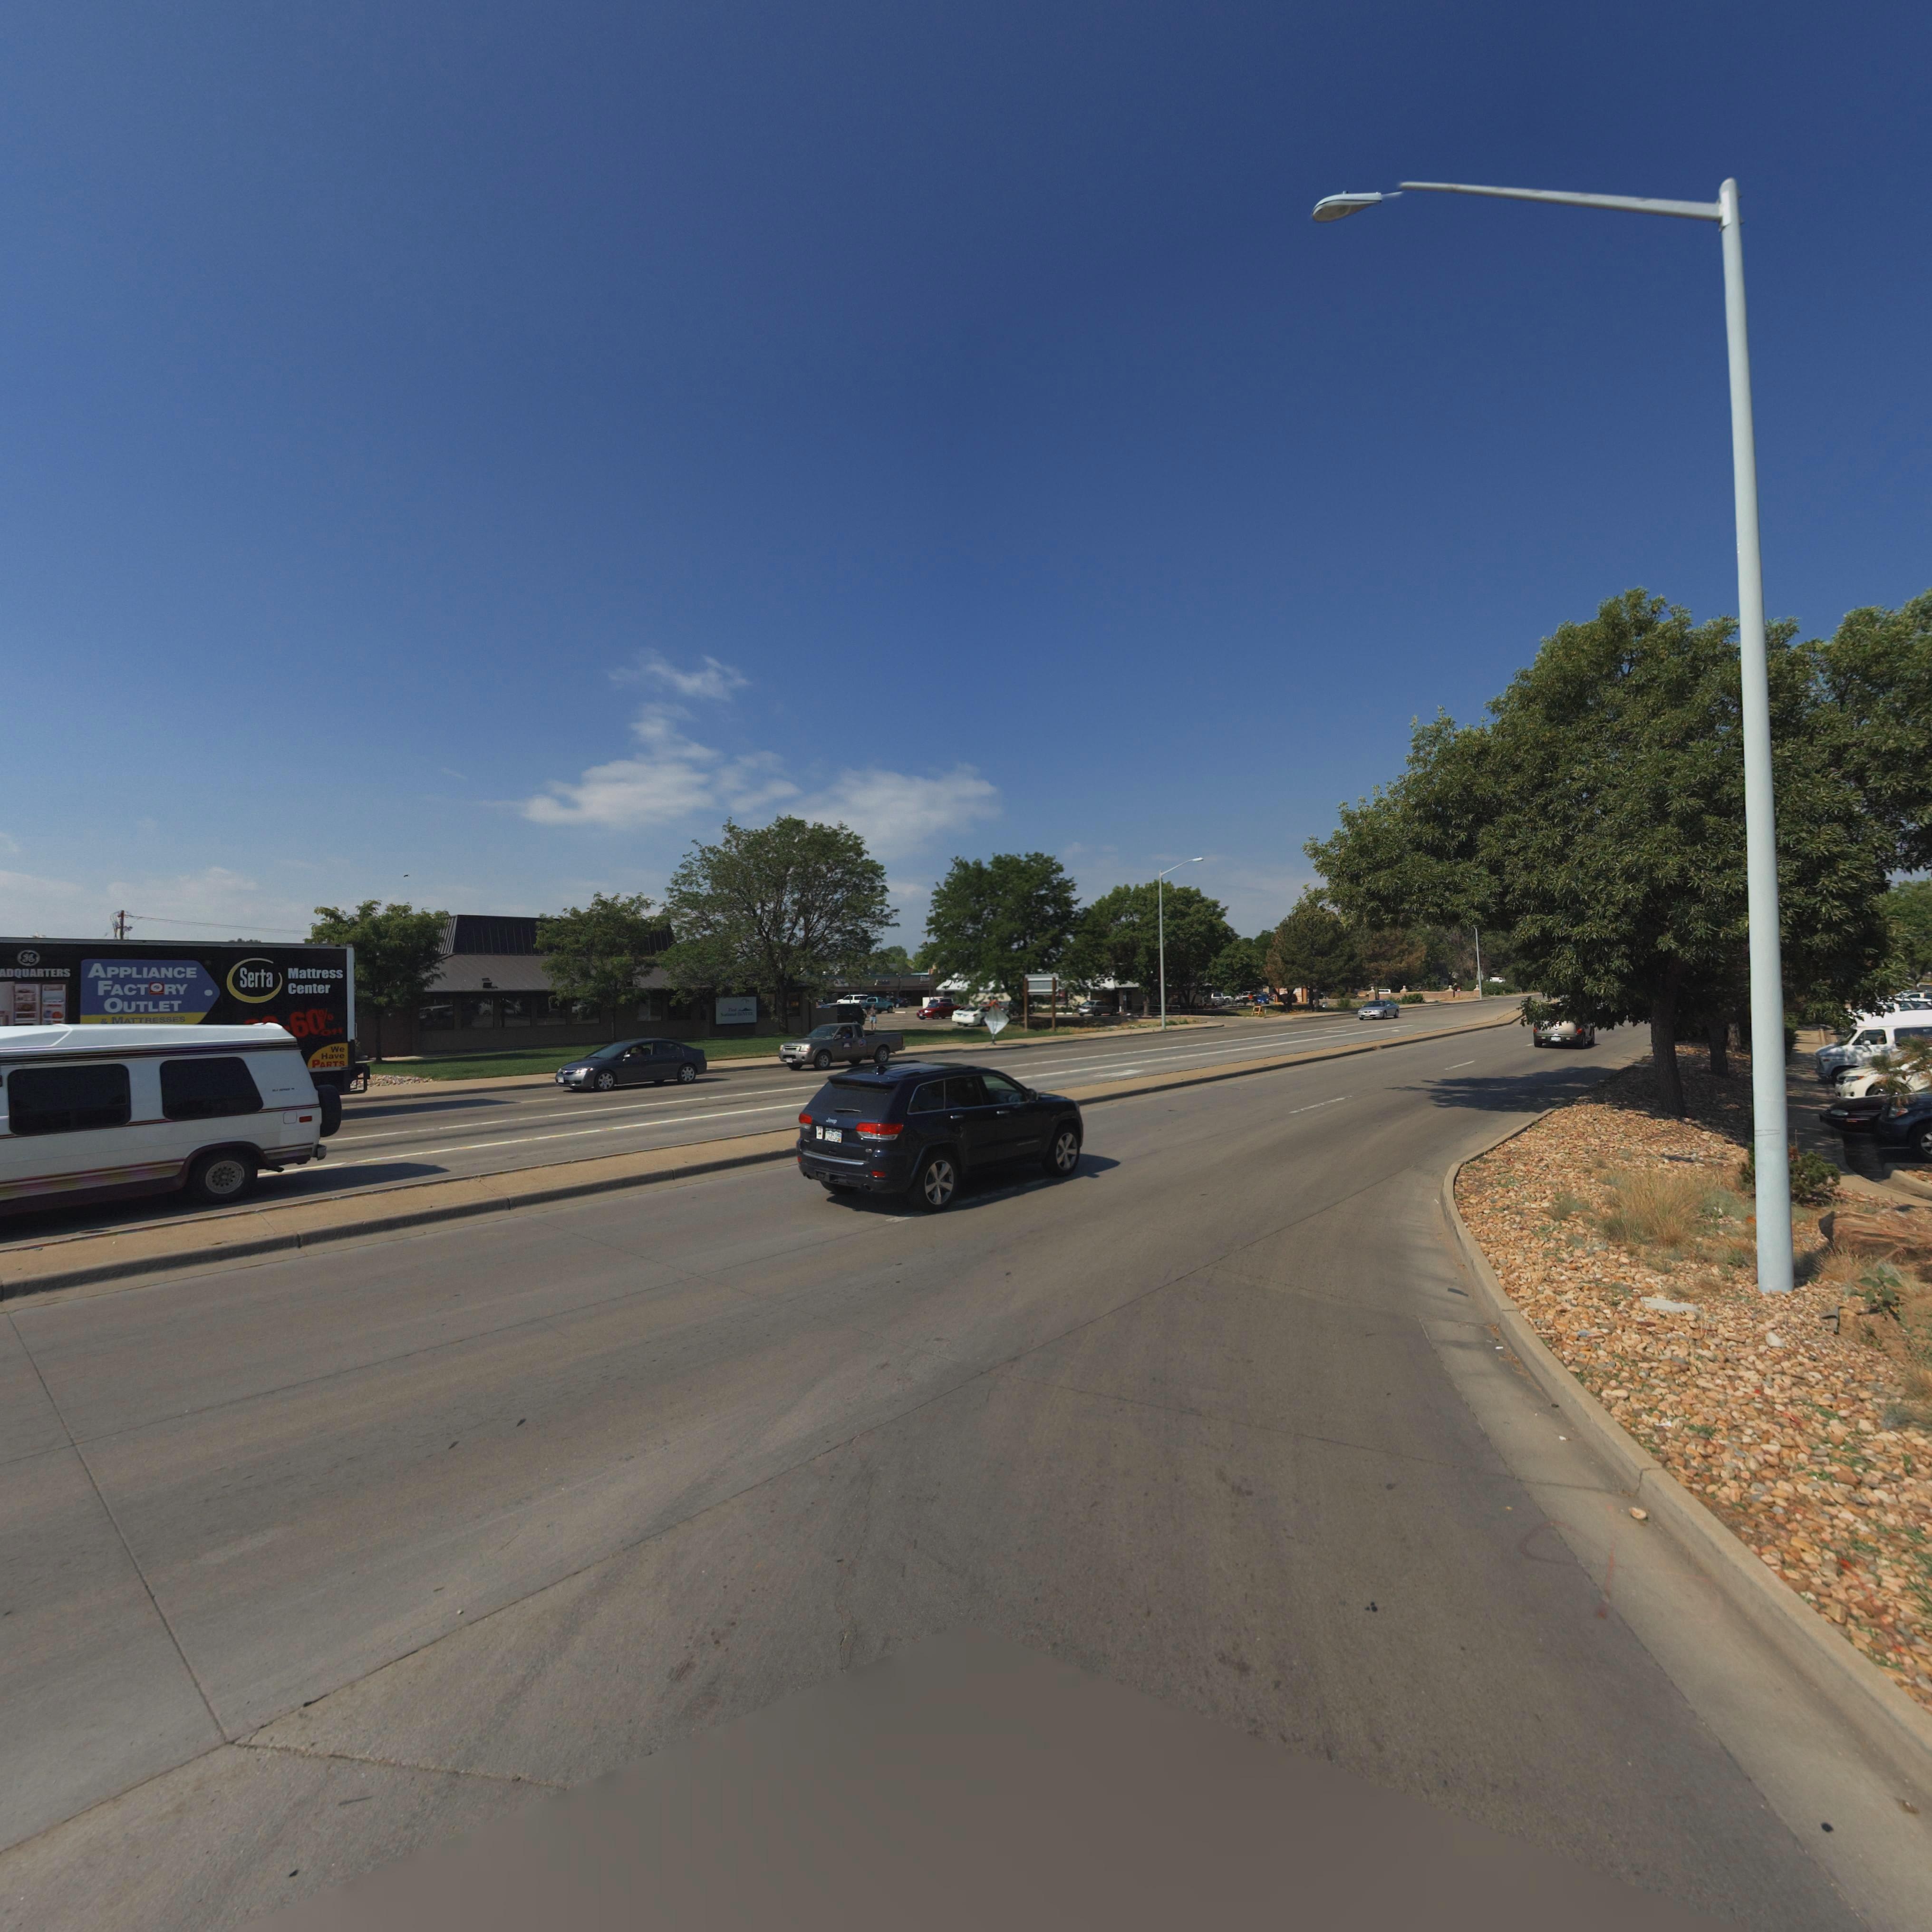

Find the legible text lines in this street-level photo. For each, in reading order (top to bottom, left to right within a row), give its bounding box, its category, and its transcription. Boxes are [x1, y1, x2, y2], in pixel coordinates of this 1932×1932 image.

[874, 978, 890, 985] BusinessName: Allstate
[728, 1007, 737, 1012] BusinessName: First
[720, 1011, 753, 1017] BusinessName: National DENVER